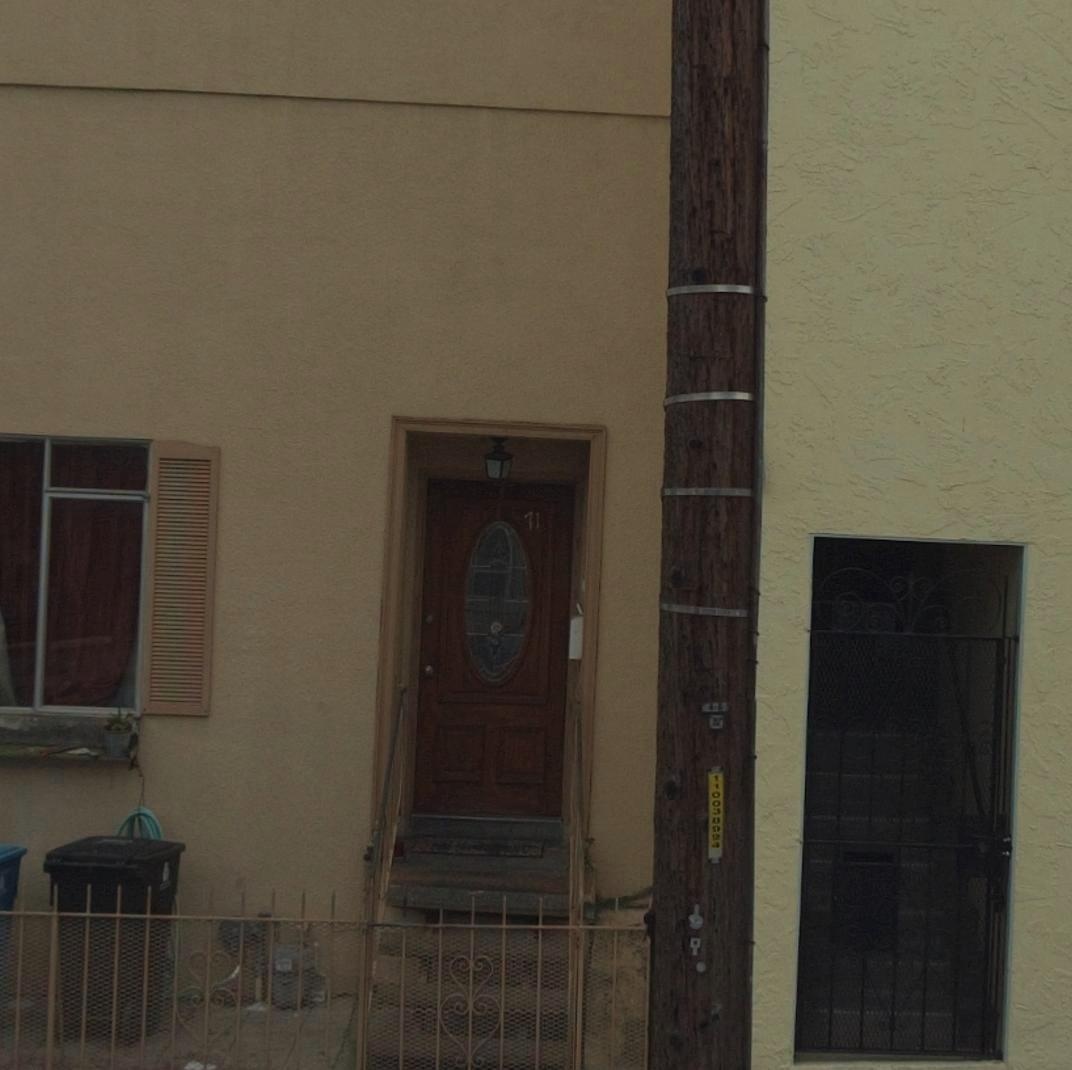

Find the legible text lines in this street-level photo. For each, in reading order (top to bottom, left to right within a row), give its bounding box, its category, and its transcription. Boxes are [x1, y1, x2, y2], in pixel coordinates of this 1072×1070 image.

[522, 510, 541, 532] StreetNumber: 71
[709, 771, 721, 852] None: 110038924